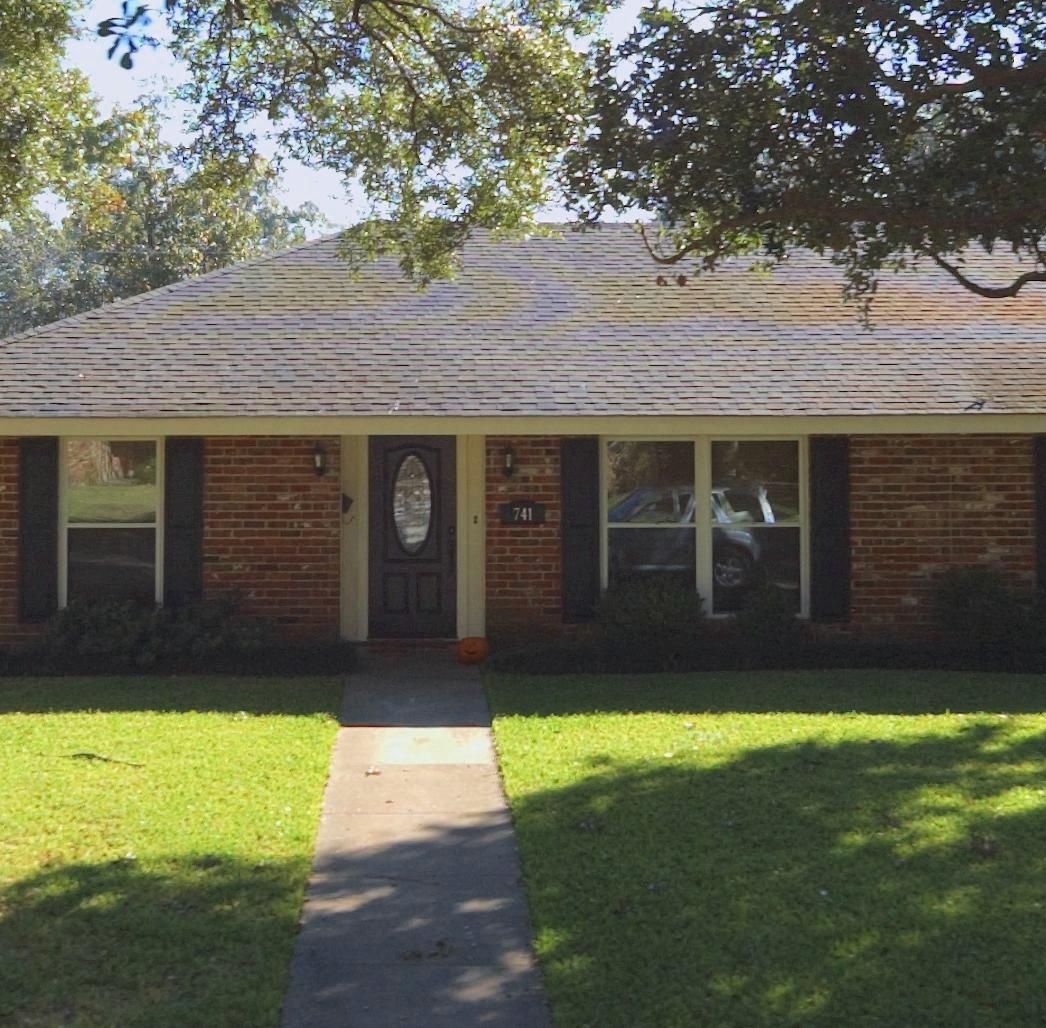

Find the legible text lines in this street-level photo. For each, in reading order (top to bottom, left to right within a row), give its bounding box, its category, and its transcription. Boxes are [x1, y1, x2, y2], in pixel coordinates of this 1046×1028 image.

[511, 505, 534, 523] StreetNumber: 741